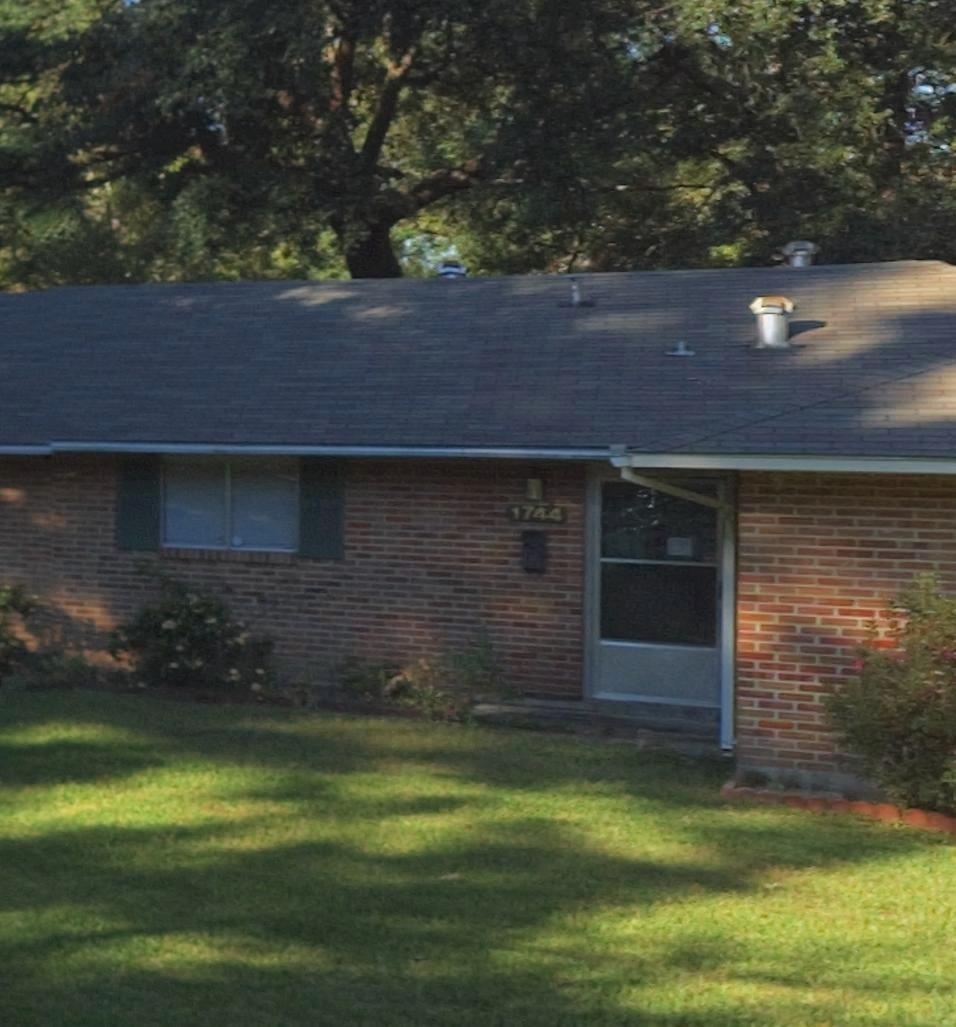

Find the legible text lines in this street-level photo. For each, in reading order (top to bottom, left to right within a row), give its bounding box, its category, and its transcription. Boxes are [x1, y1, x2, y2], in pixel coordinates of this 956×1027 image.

[508, 505, 564, 523] StreetNumber: 1744